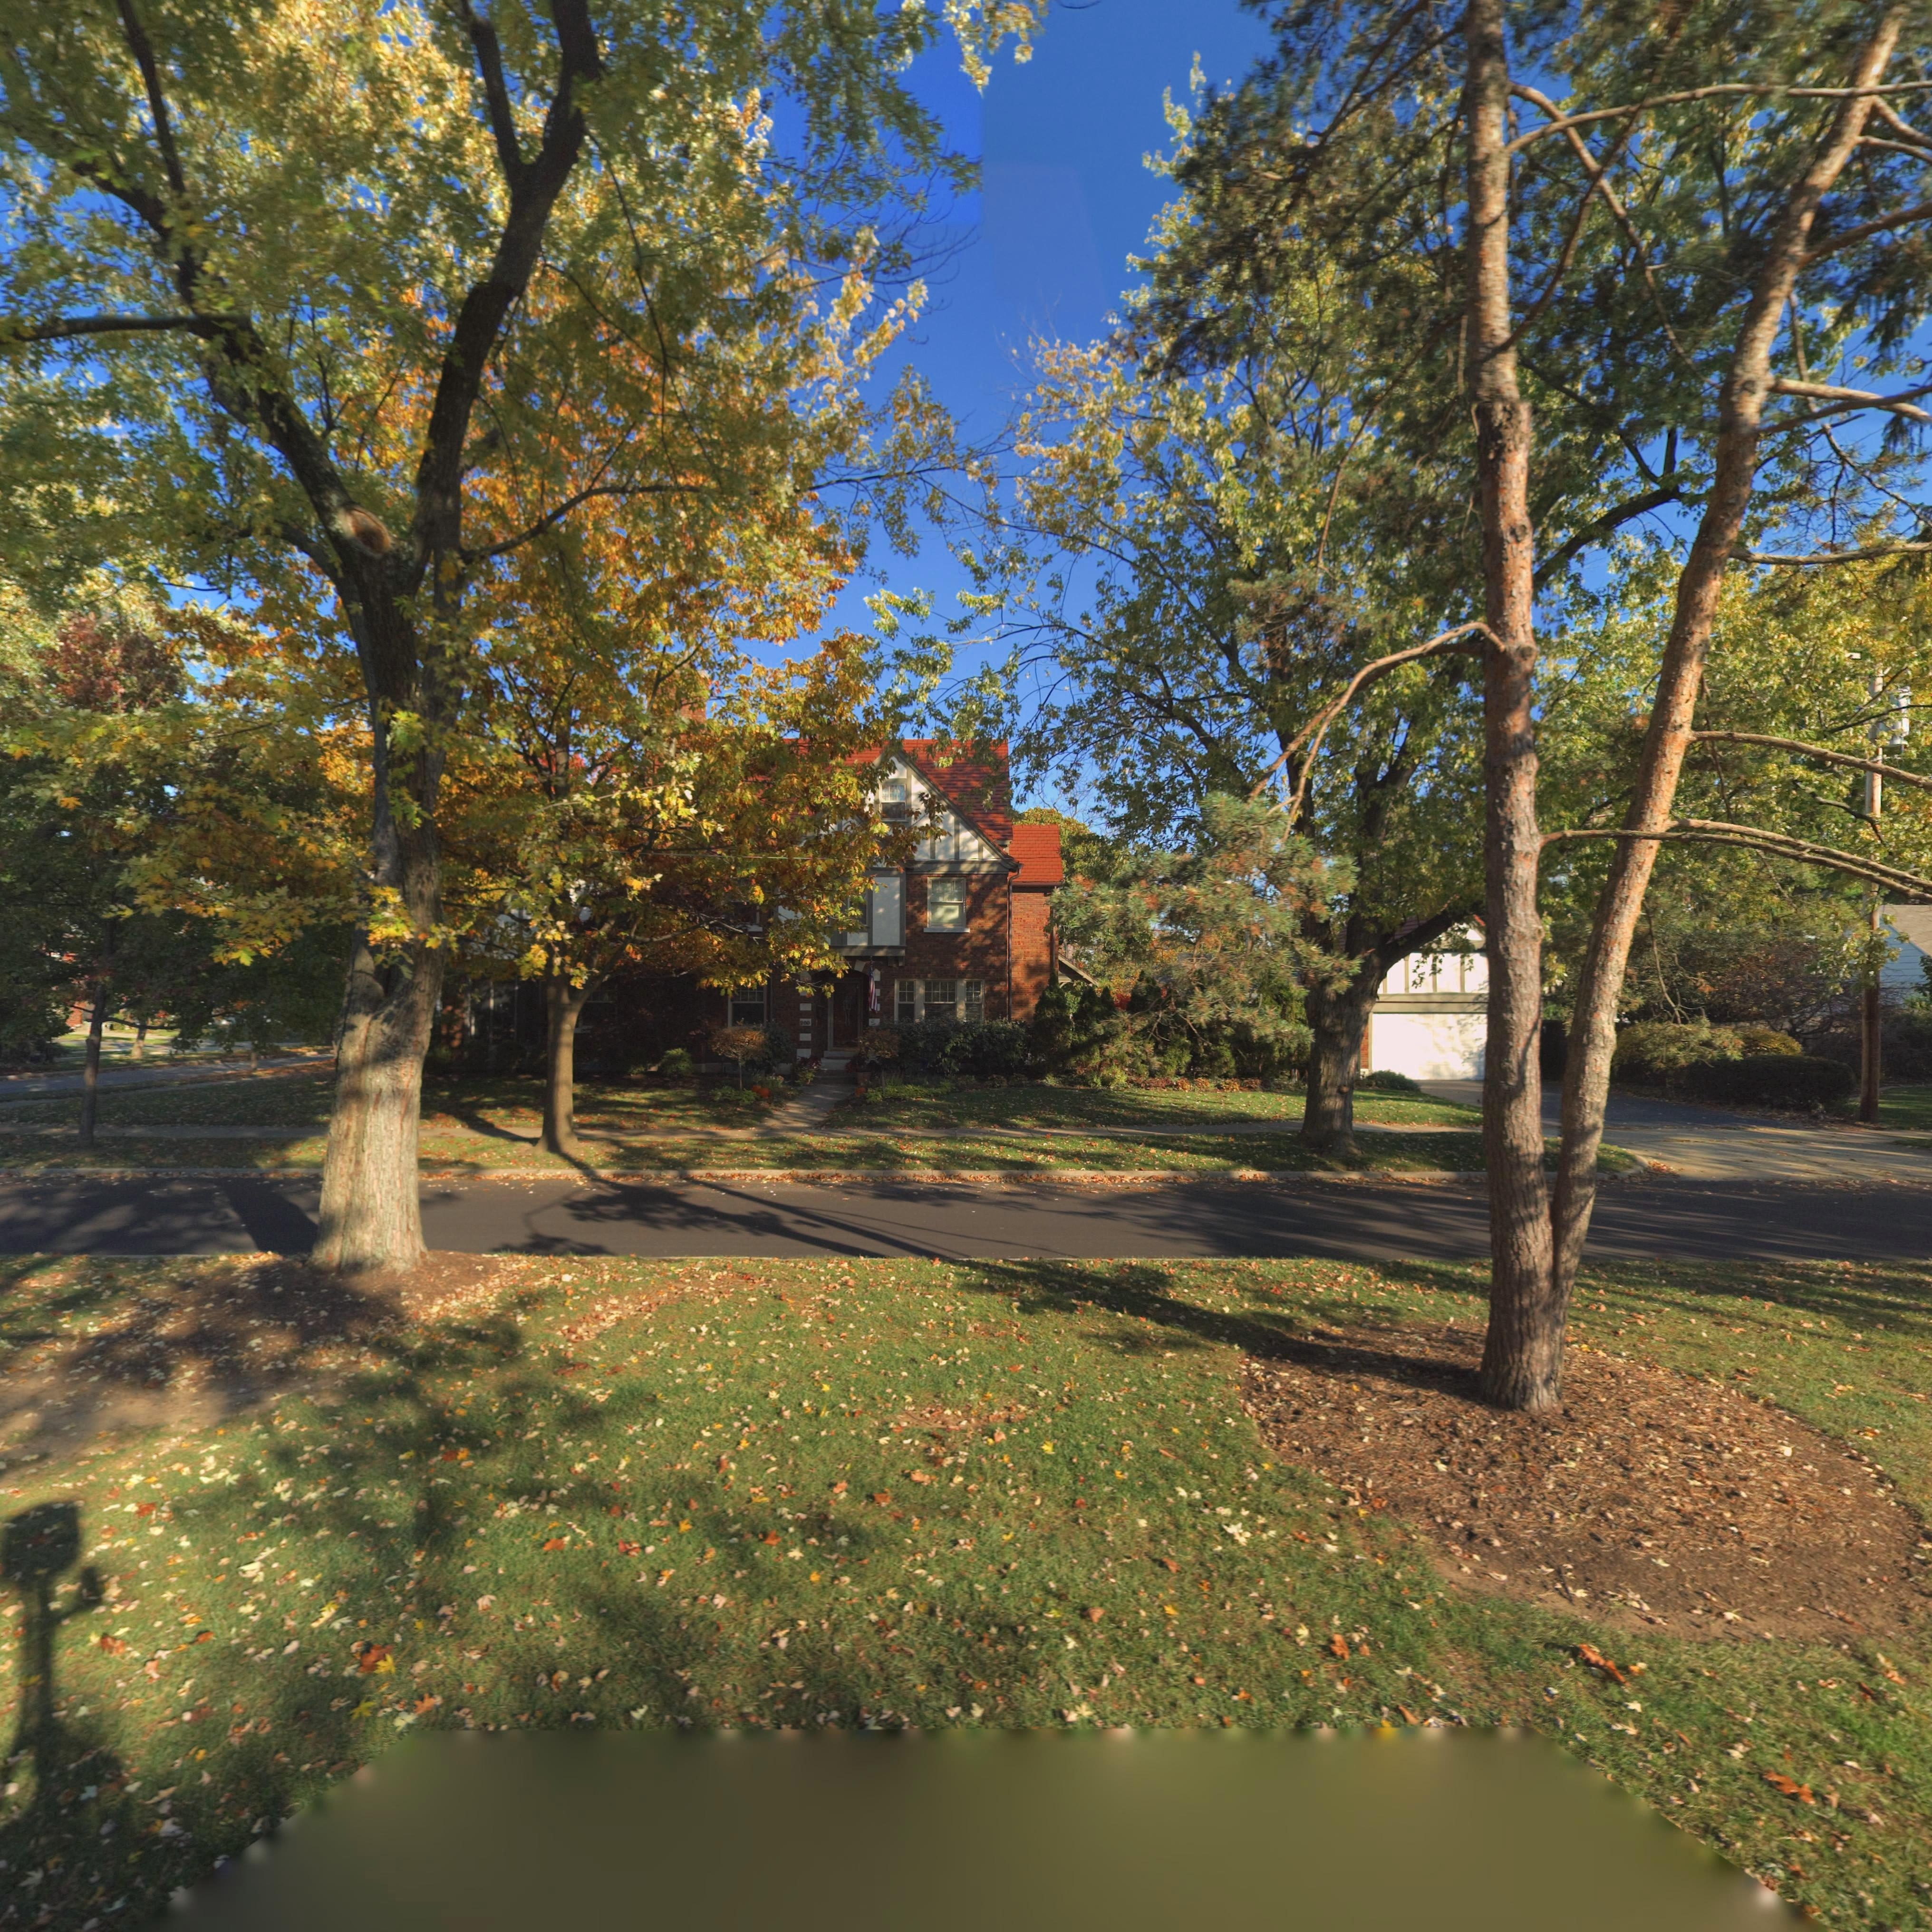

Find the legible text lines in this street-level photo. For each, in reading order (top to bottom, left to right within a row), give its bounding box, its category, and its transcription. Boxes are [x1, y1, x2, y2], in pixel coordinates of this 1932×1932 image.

[800, 1020, 810, 1025] StreetNumber: 200